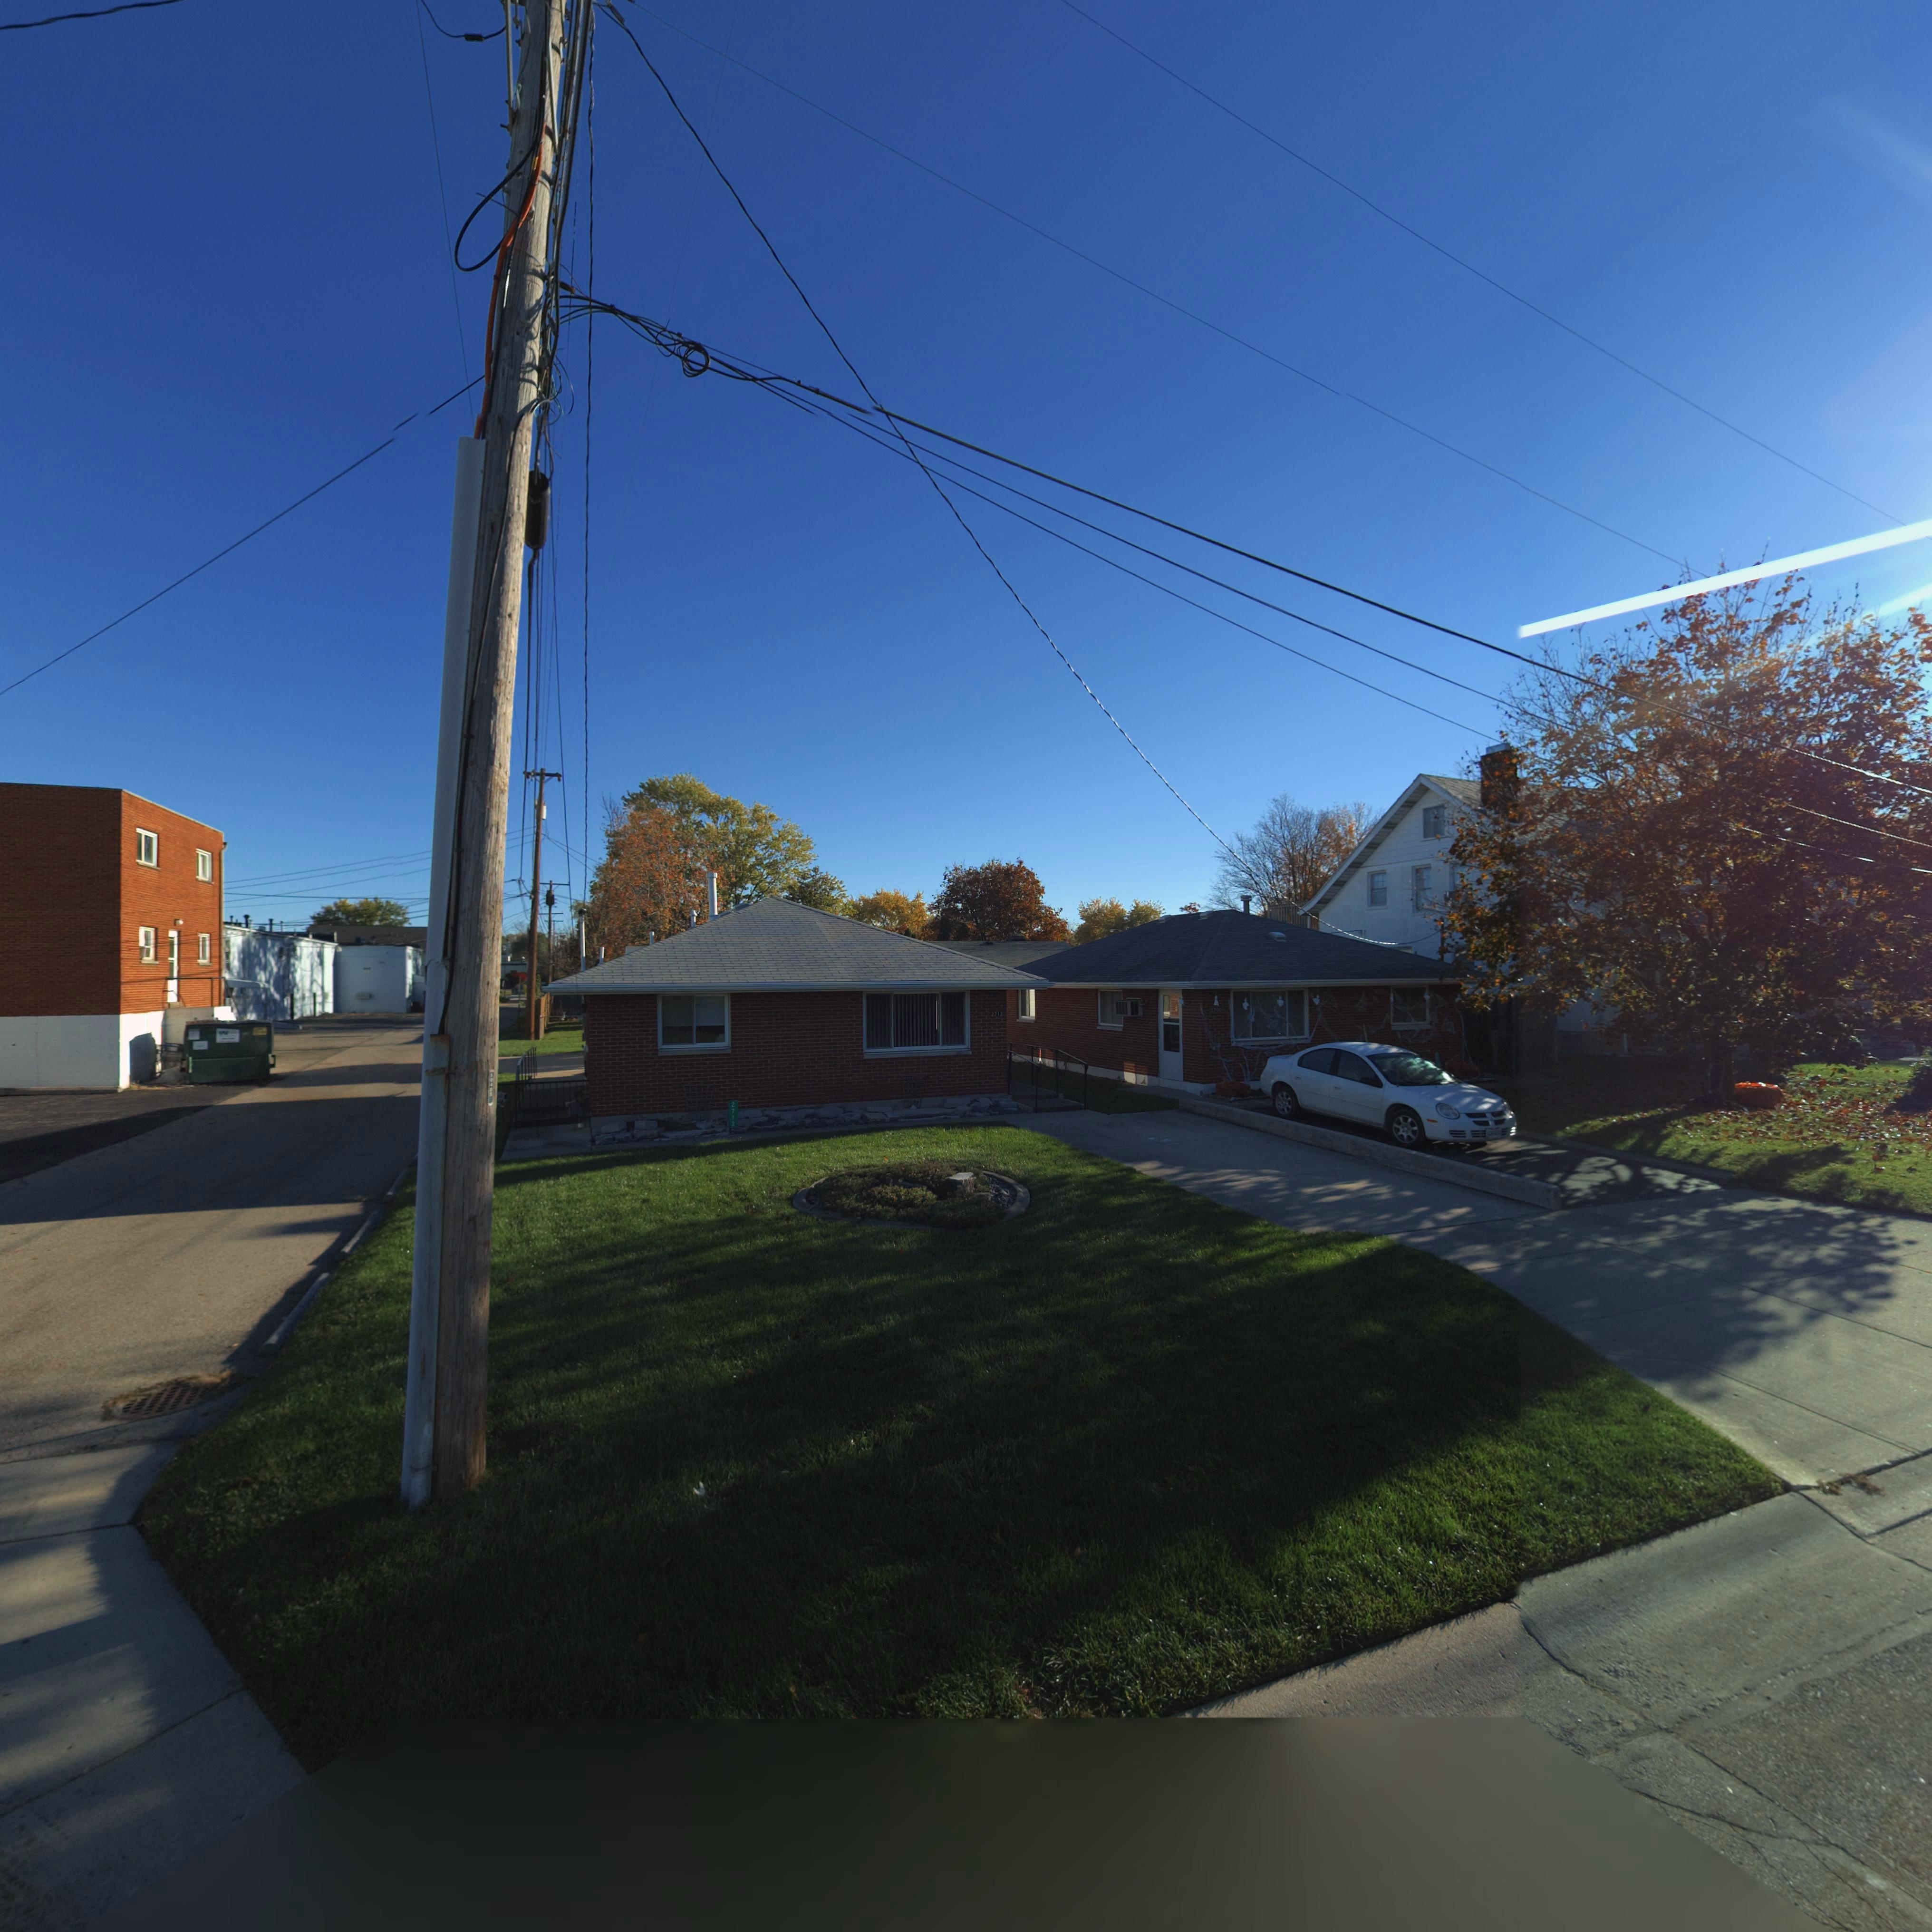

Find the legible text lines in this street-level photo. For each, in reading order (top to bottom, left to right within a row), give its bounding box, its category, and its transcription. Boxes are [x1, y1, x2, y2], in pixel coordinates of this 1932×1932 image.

[1210, 1007, 1222, 1013] StreetNumber: 2706
[991, 1011, 1004, 1017] StreetNumber: 2712
[731, 1101, 735, 1128] StreetNumber: 2712